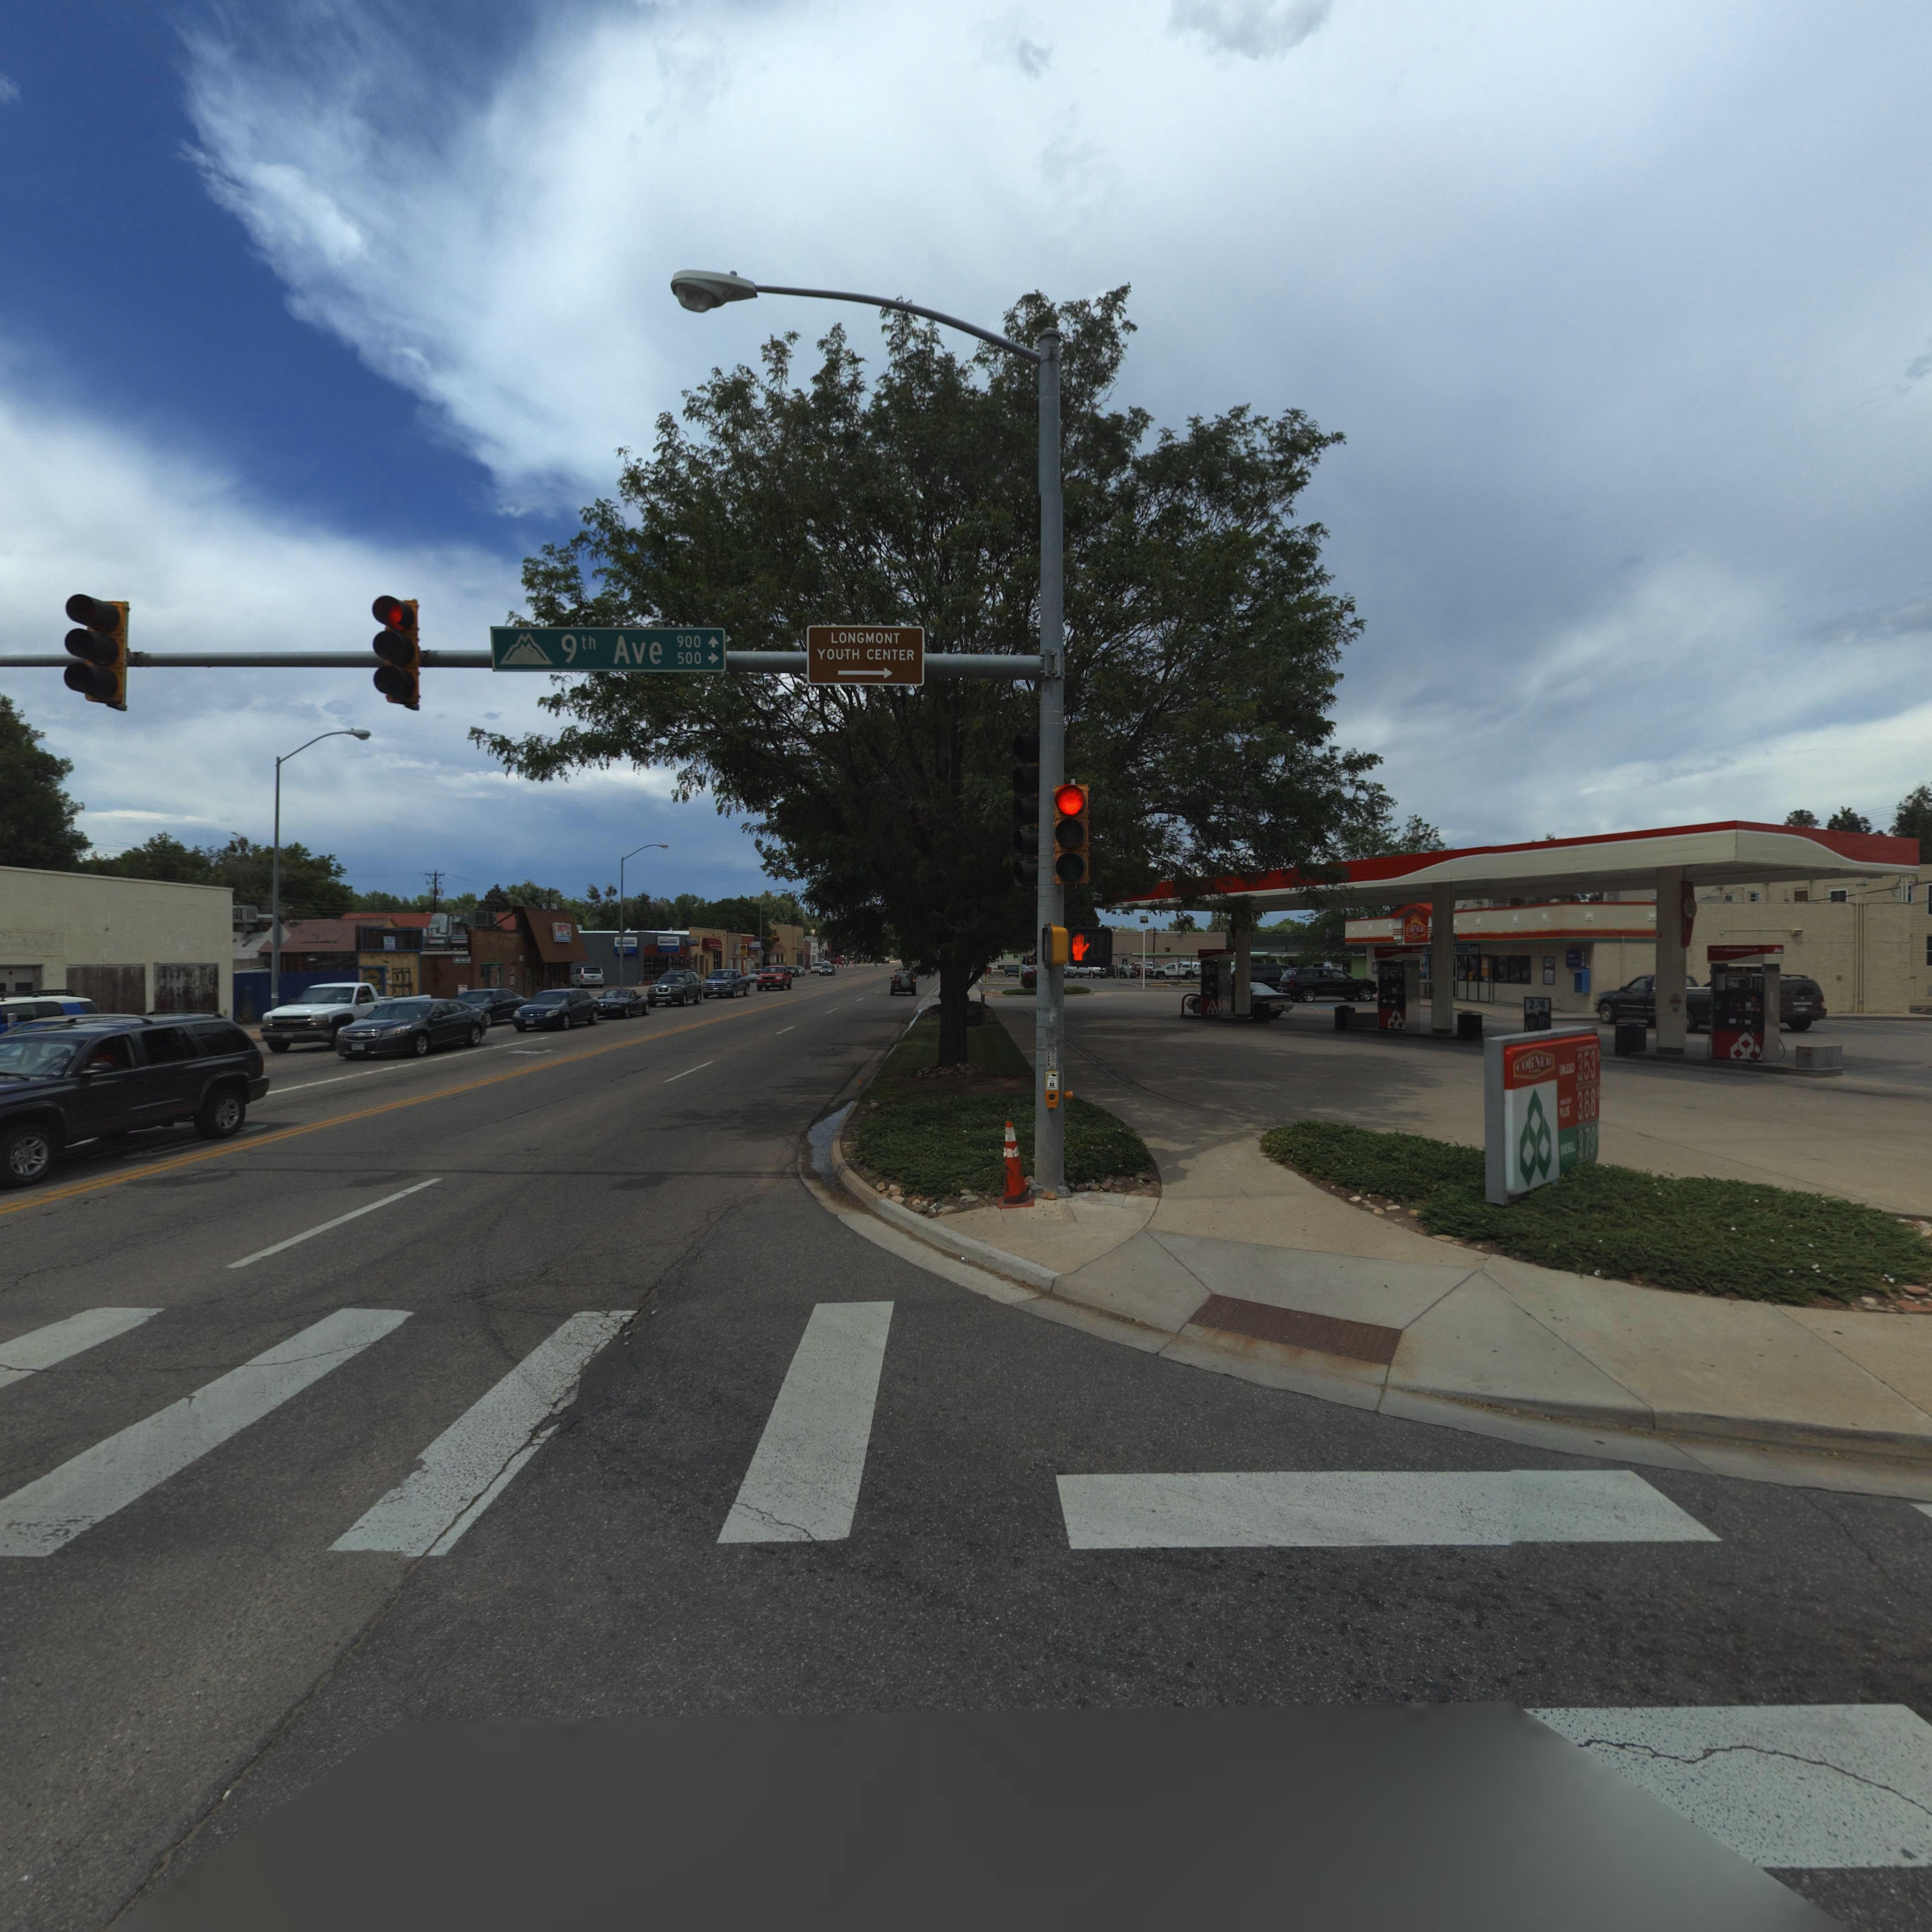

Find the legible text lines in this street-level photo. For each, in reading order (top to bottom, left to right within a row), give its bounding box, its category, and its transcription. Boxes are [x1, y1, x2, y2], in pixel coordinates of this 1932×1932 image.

[561, 634, 663, 665] StreetName: 9th Ave
[676, 635, 700, 648] StreetNumberRange: 900
[677, 652, 718, 664] StreetNumberRange: 500 ->
[1517, 1054, 1552, 1072] BusinessName: CORNER